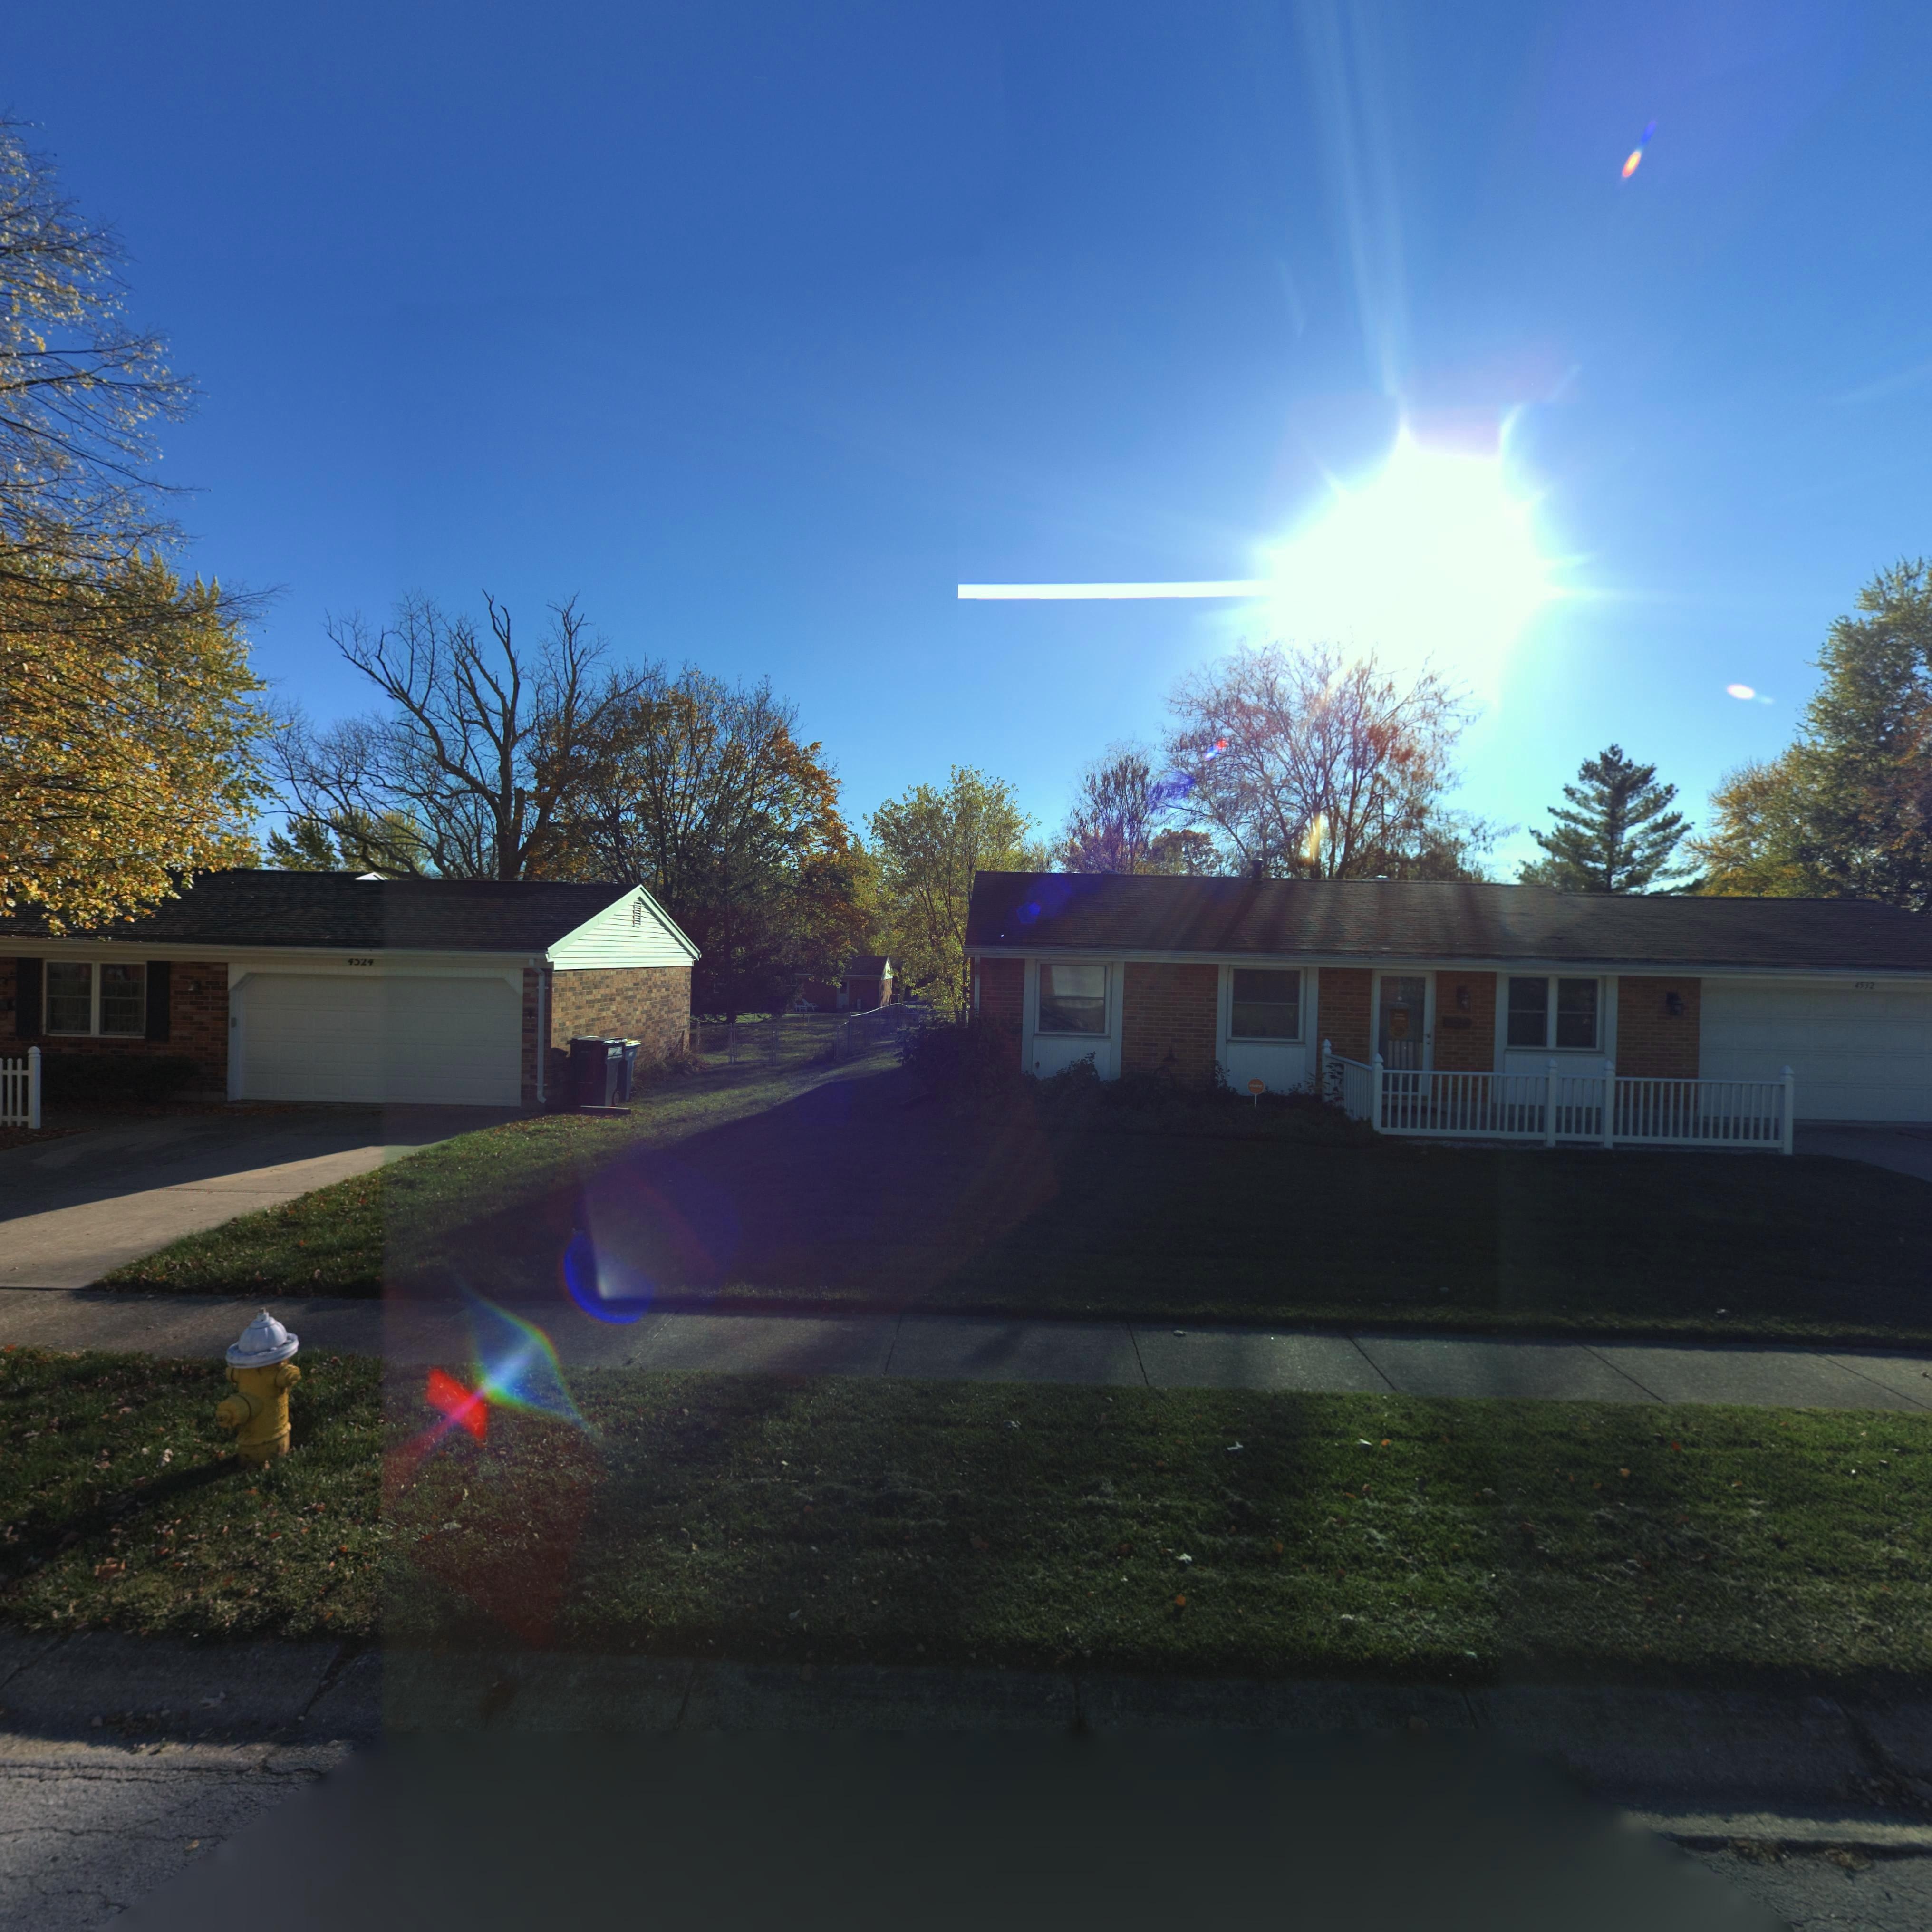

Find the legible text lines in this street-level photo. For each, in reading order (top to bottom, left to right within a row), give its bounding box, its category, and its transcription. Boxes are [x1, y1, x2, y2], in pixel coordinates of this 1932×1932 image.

[346, 958, 375, 966] StreetNumber: 4524
[1855, 981, 1875, 989] StreetNumber: 4532